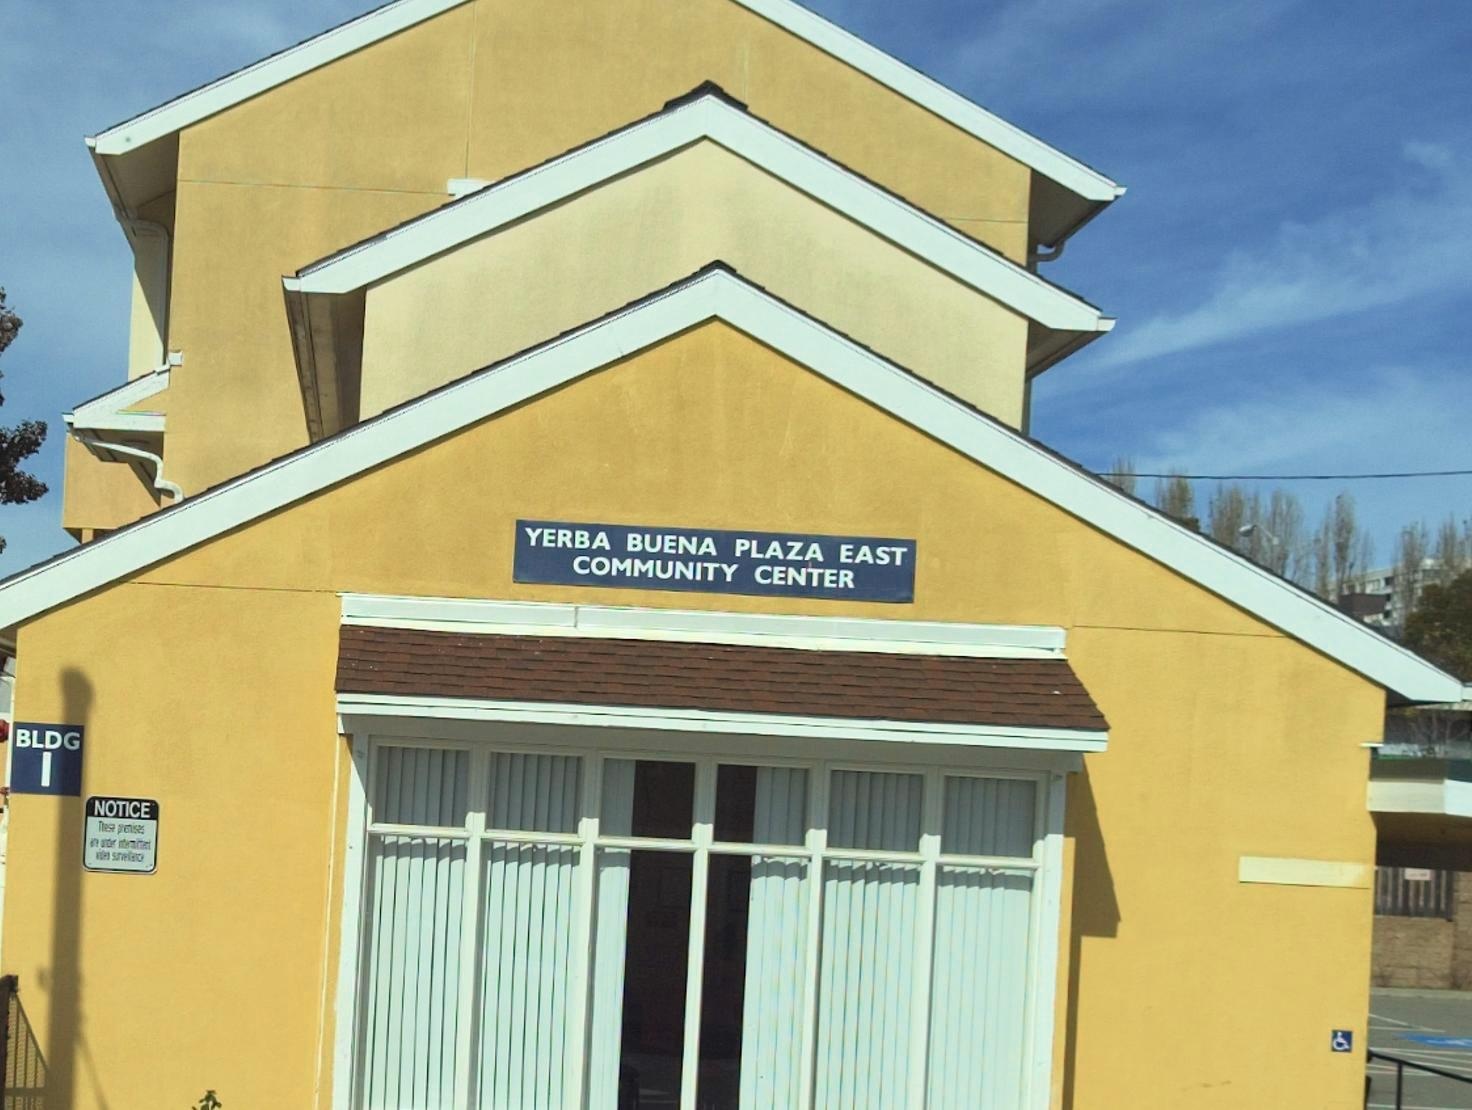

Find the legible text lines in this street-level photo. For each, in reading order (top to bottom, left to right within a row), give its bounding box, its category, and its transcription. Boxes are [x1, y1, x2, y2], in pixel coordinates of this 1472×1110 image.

[522, 526, 911, 570] BusinessName: YERBA BUENA PLAZA EAST
[569, 552, 857, 591] BusinessName: COMMUNITY CENTER
[13, 725, 83, 754] None: BLDG
[37, 748, 56, 792] None: 1
[91, 797, 153, 821] None: NOTICE